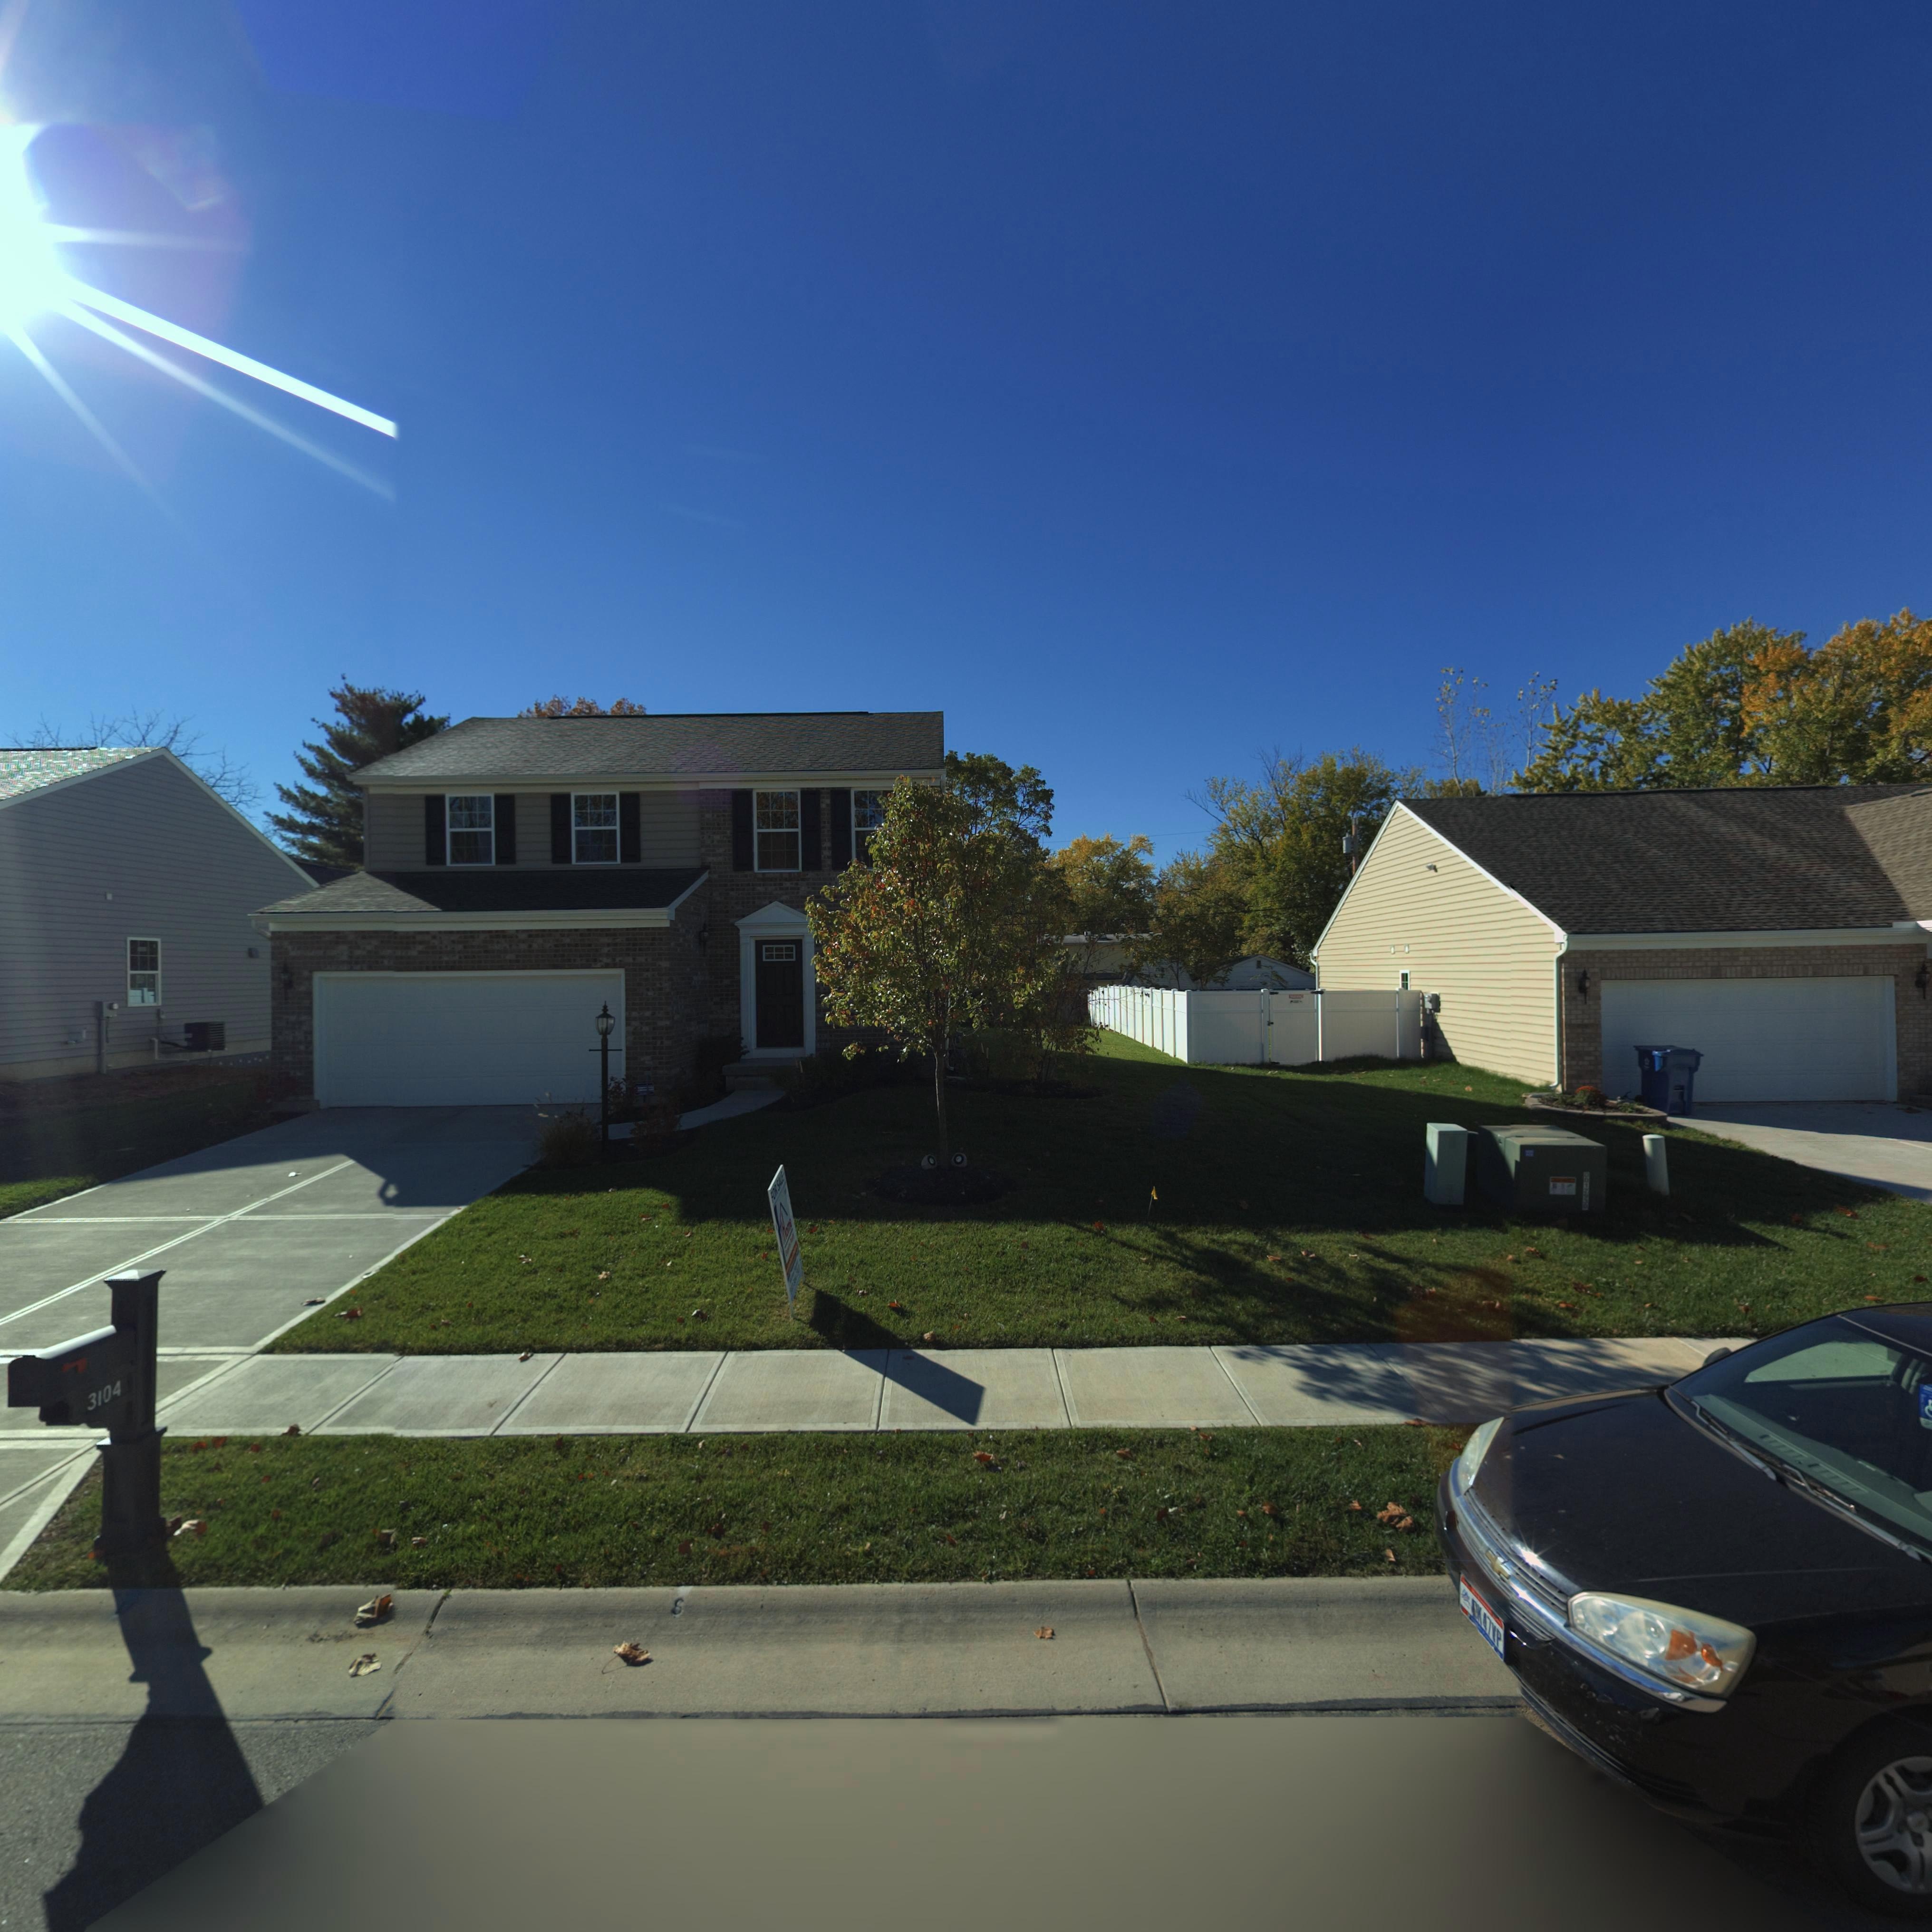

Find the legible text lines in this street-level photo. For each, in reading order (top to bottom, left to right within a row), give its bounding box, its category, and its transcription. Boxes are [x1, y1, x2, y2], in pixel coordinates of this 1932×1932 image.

[87, 1379, 122, 1413] StreetNumber: 3104